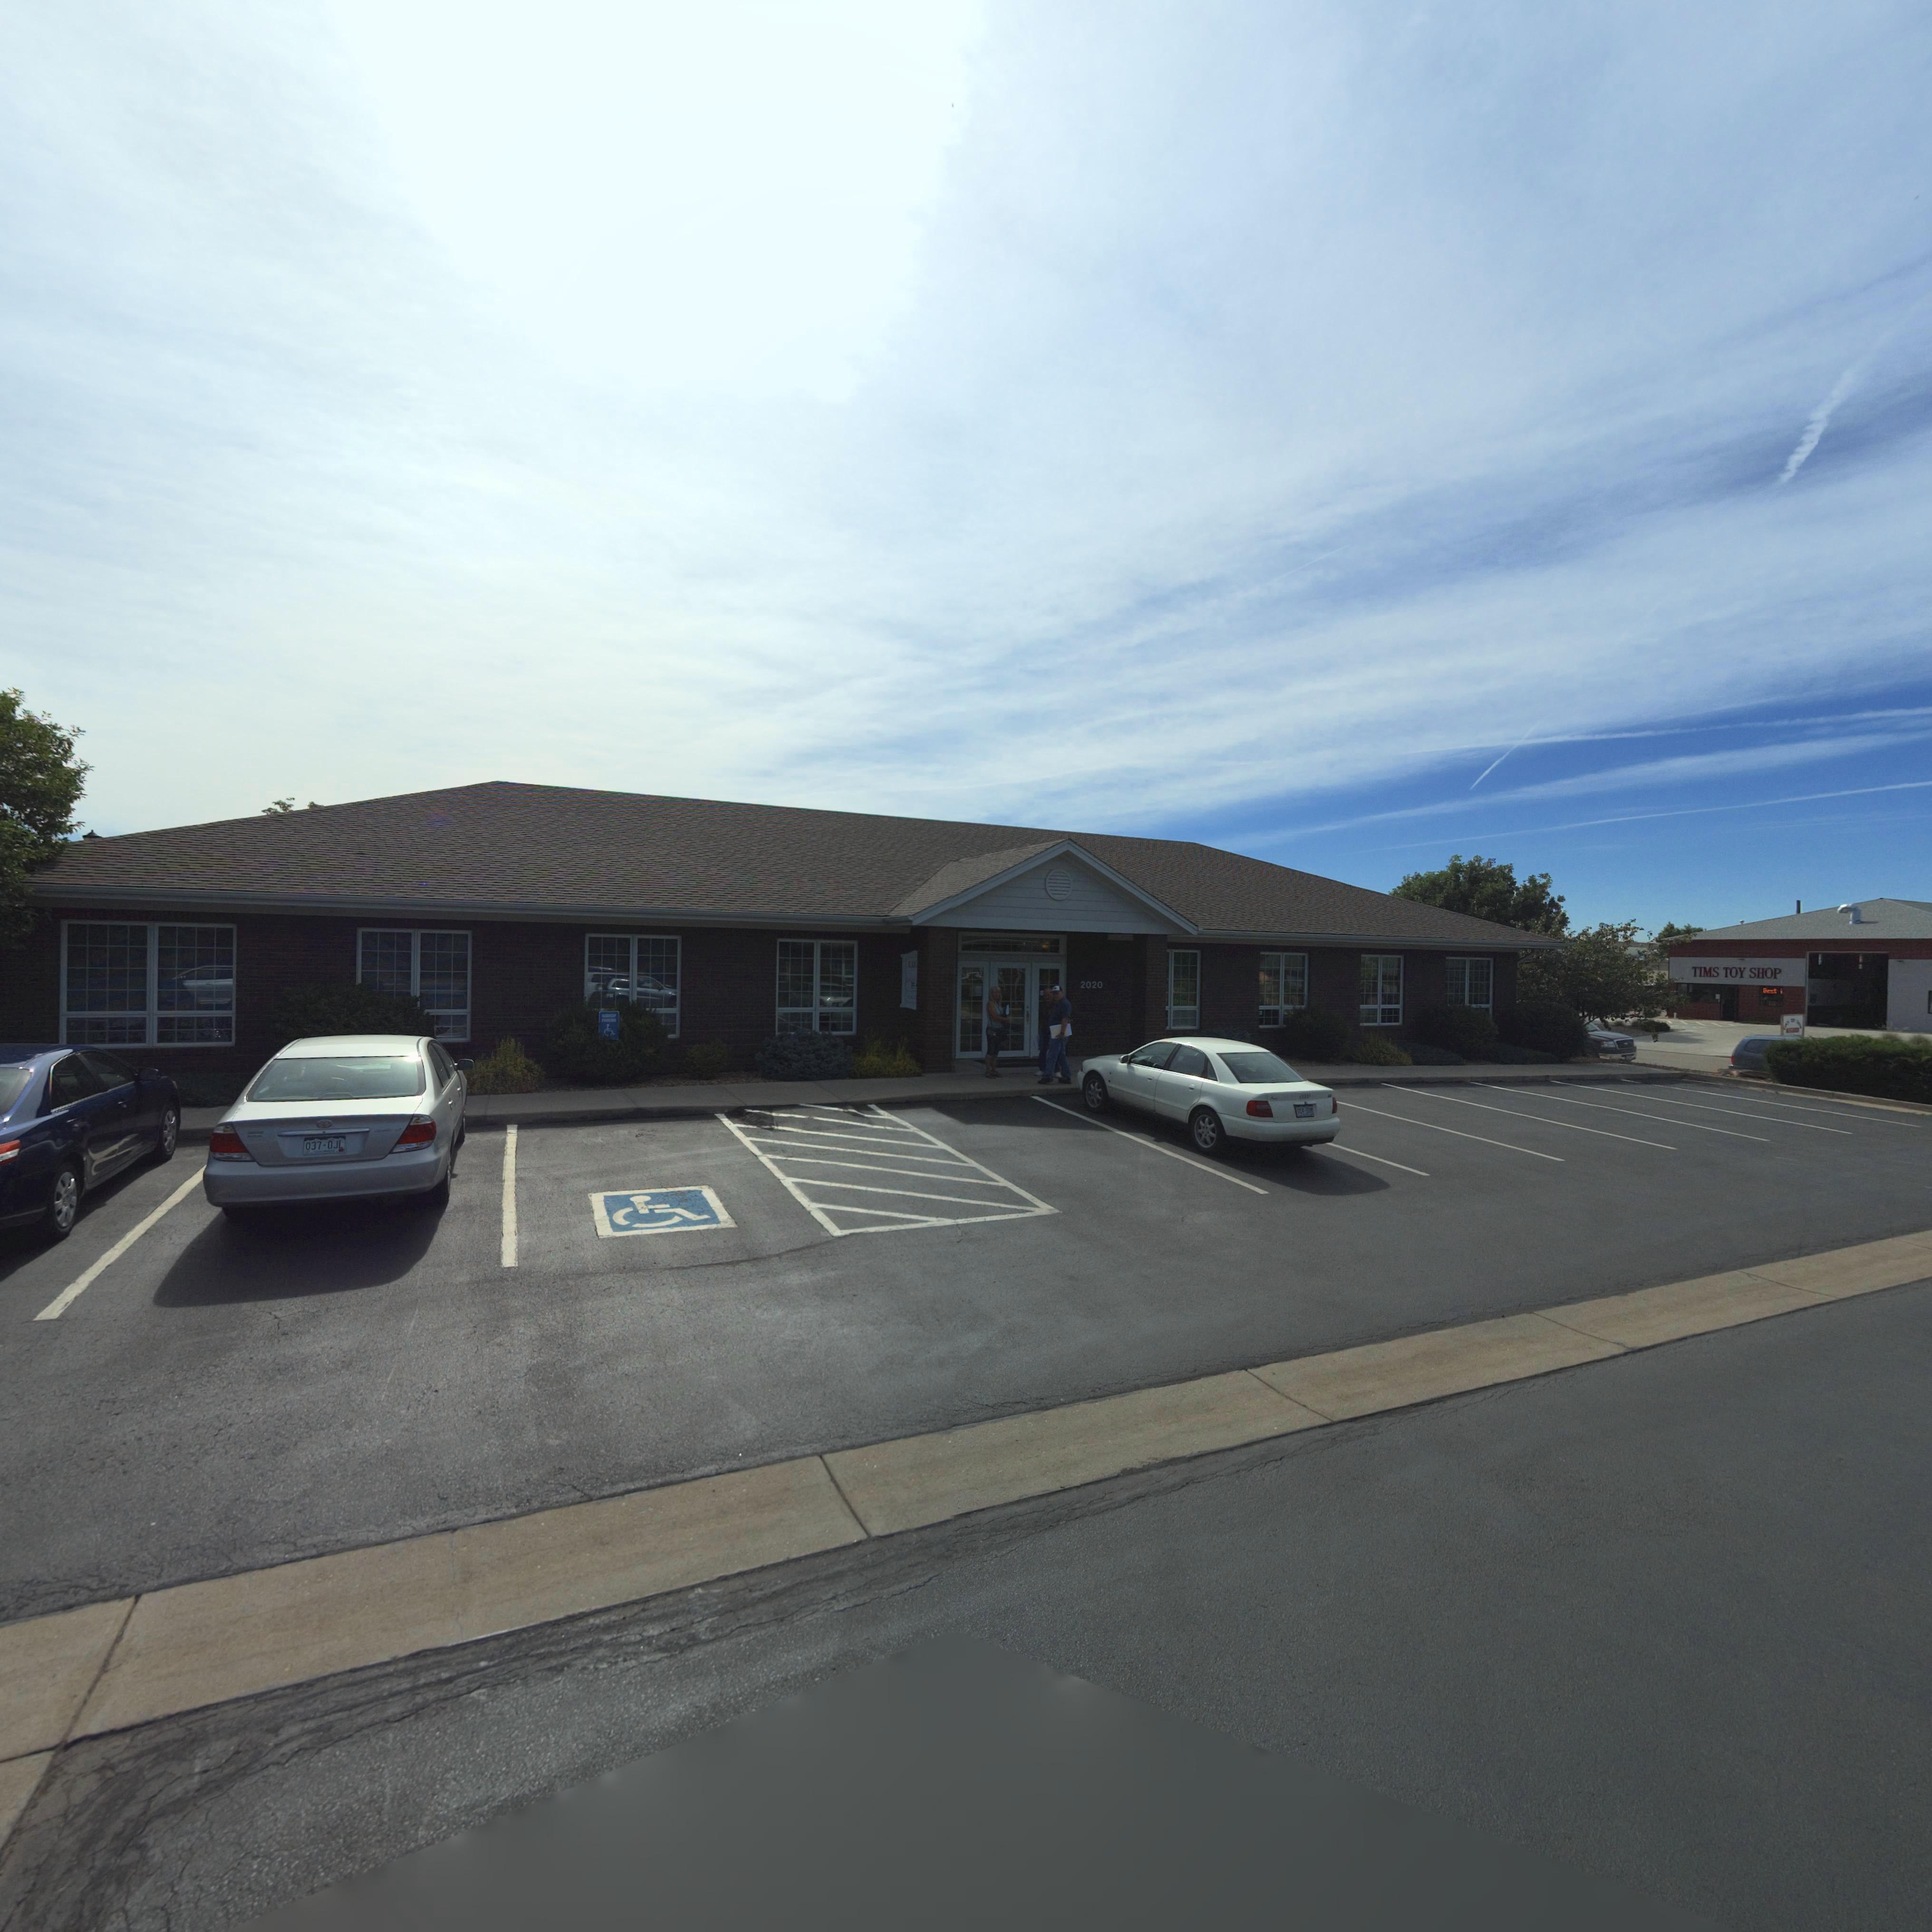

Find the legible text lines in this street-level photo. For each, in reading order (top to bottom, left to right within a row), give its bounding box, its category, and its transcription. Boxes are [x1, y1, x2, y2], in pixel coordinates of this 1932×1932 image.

[1691, 966, 1782, 980] BusinessName: TIMS TOY SHOP
[1080, 980, 1103, 989] StreetNumber: 2020